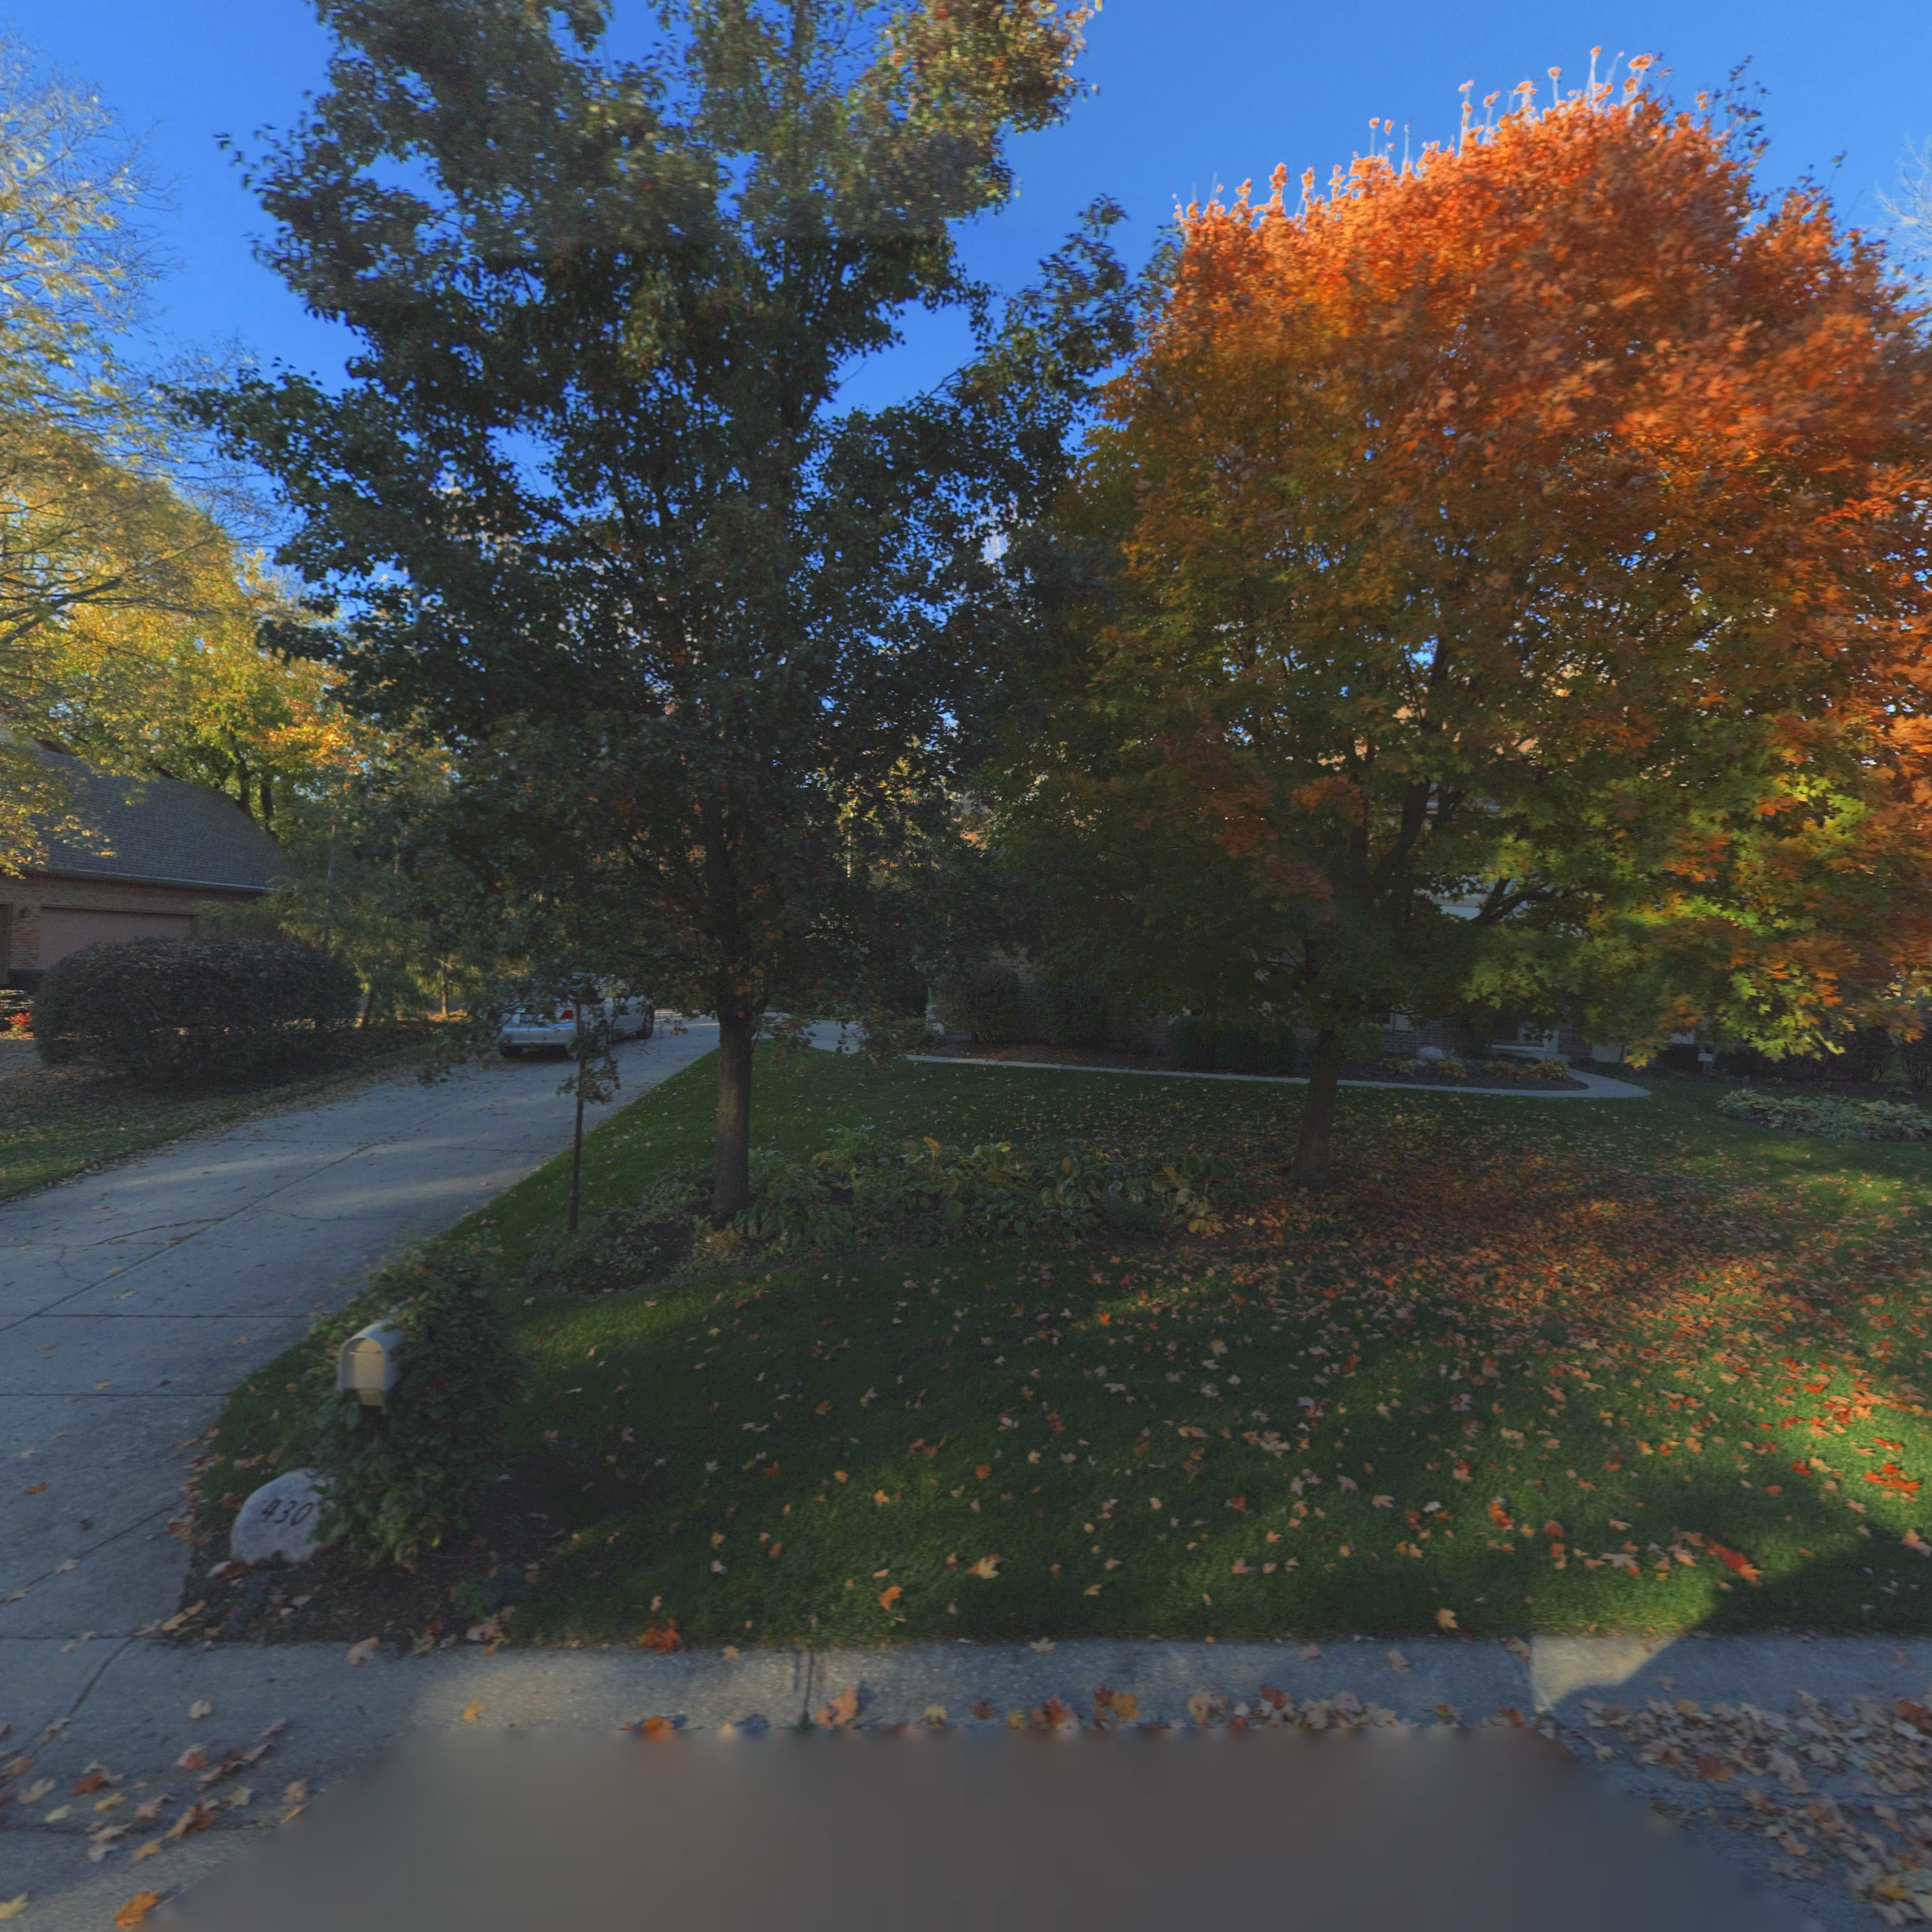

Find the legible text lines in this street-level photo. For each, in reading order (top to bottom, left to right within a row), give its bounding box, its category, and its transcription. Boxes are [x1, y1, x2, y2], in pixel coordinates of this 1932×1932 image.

[259, 1495, 316, 1529] StreetNumber: 430